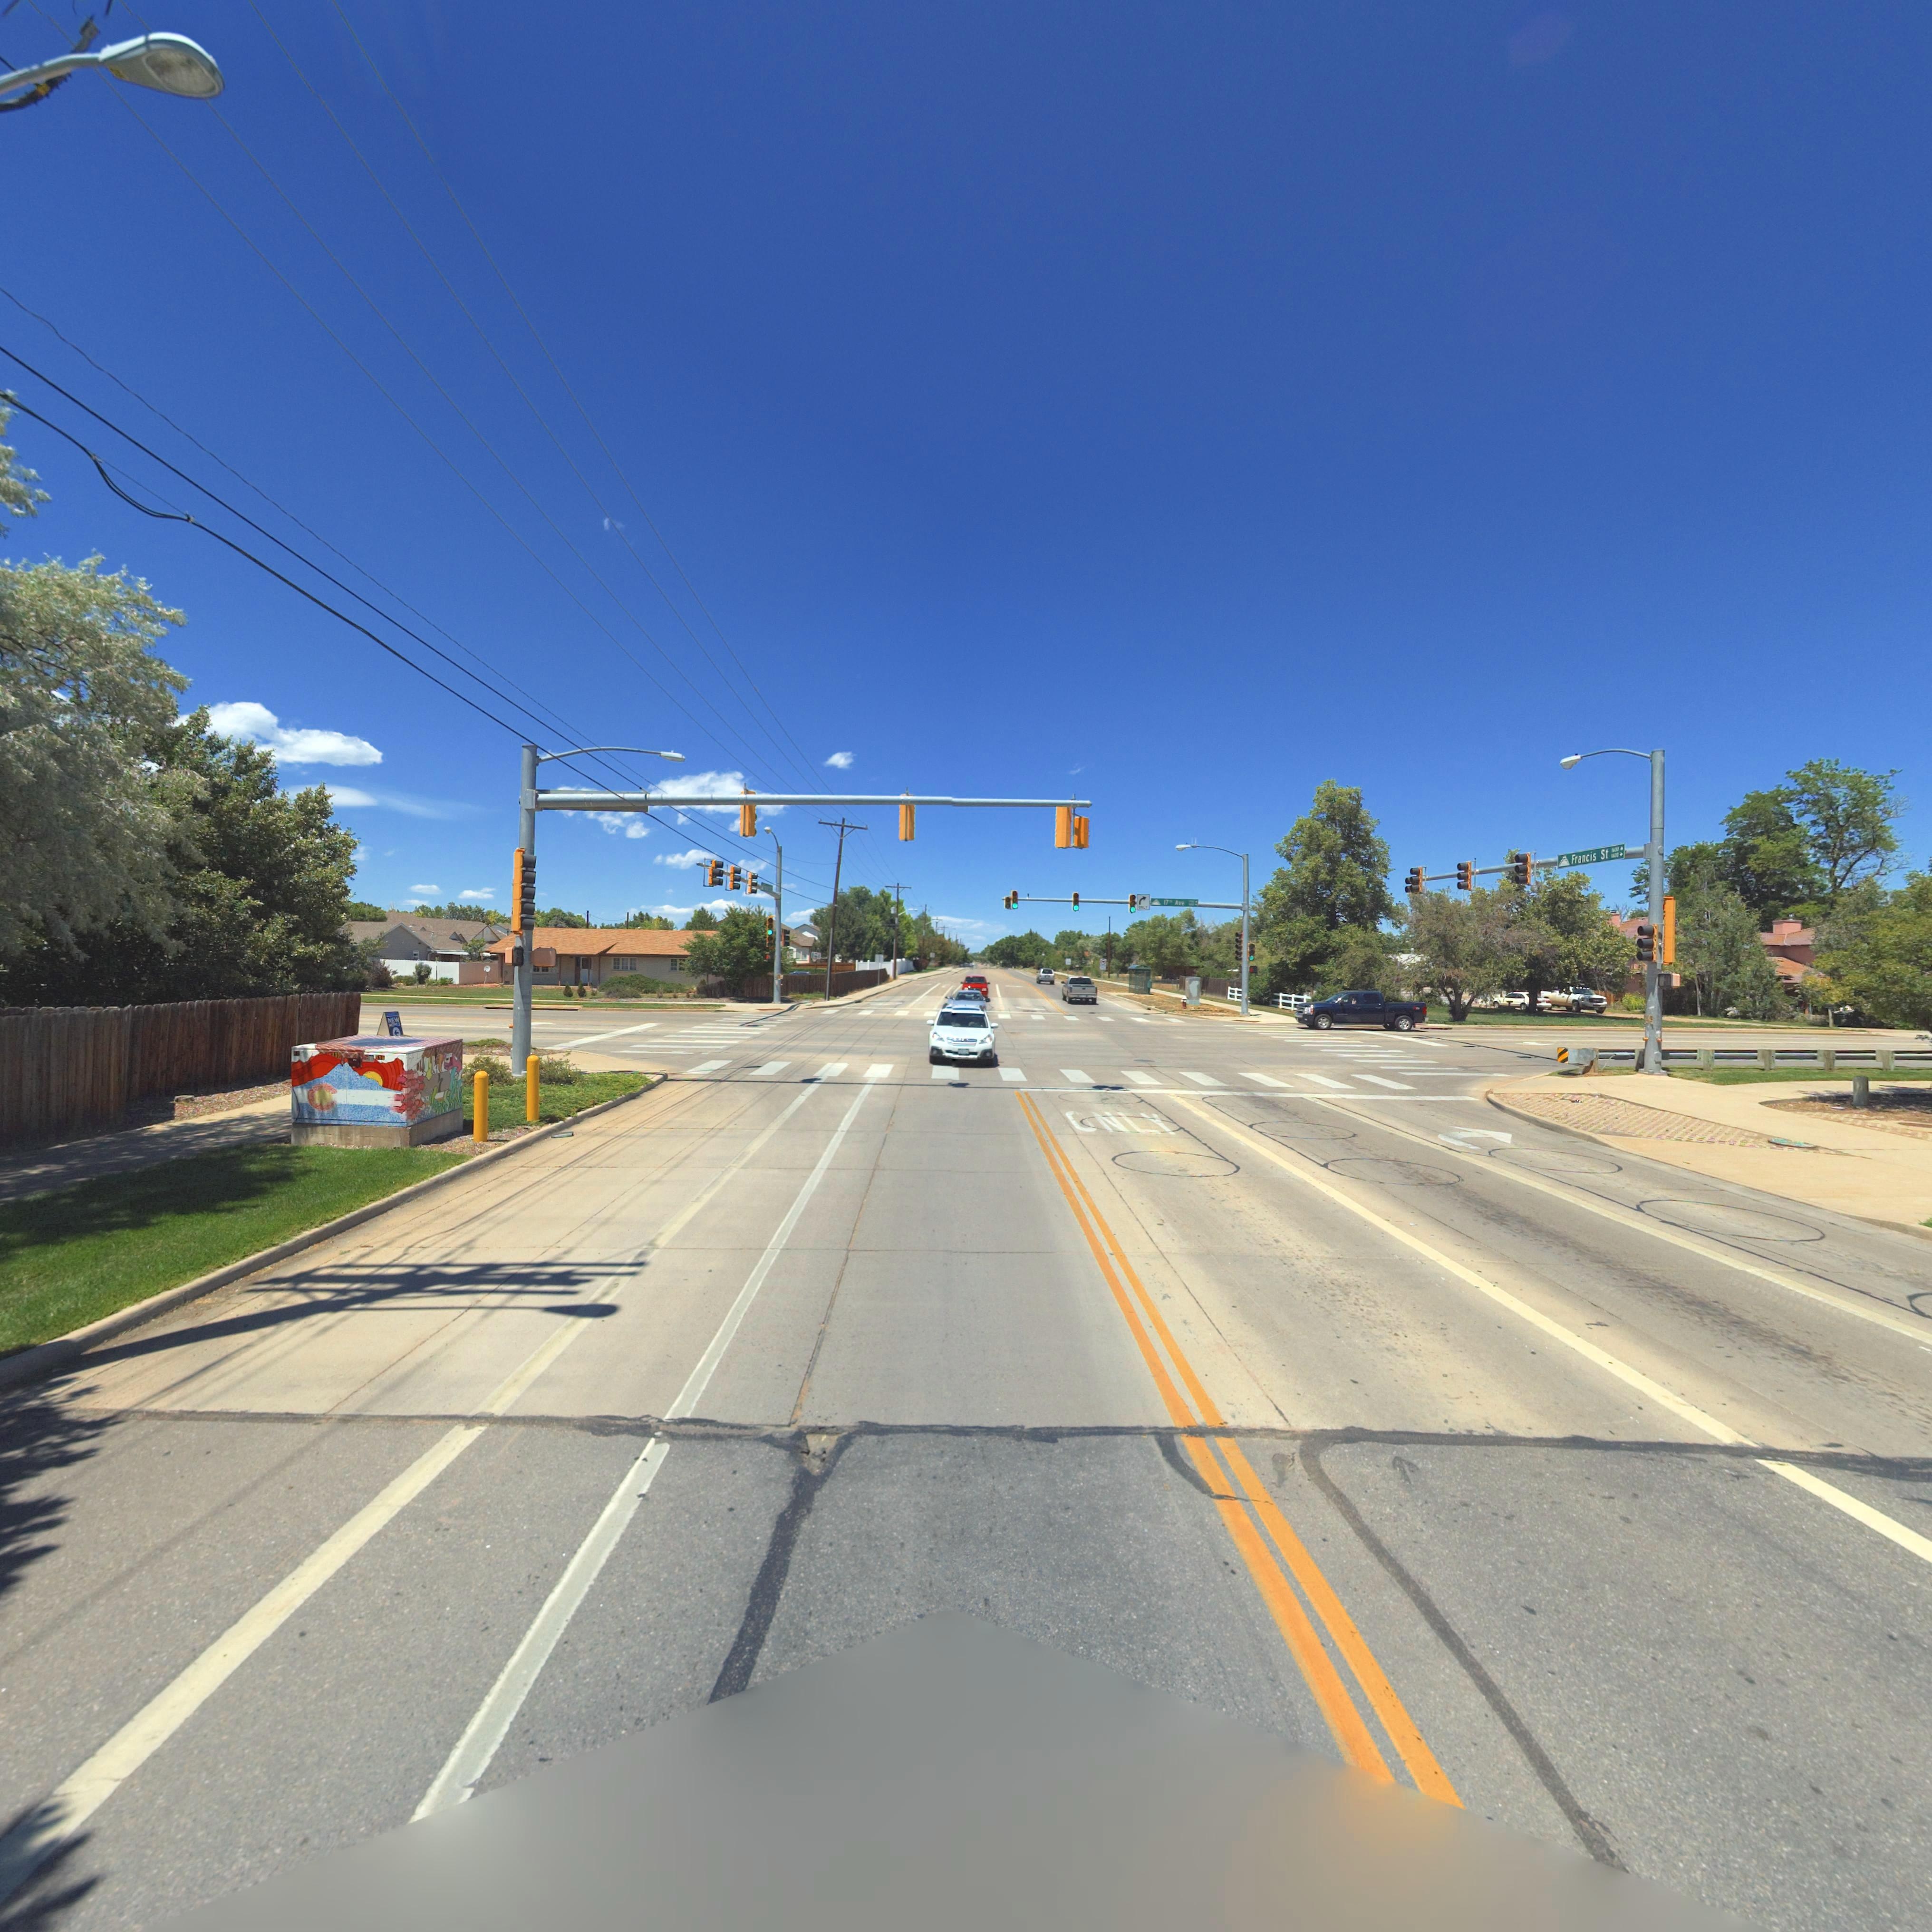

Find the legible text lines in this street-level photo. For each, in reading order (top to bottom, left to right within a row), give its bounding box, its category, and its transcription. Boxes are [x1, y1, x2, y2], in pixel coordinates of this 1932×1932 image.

[1571, 848, 1609, 864] StreetName: Francis St
[1611, 851, 1623, 858] StreetNumberRange: ***0->
[1163, 899, 1185, 906] StreetName: 17** Ave